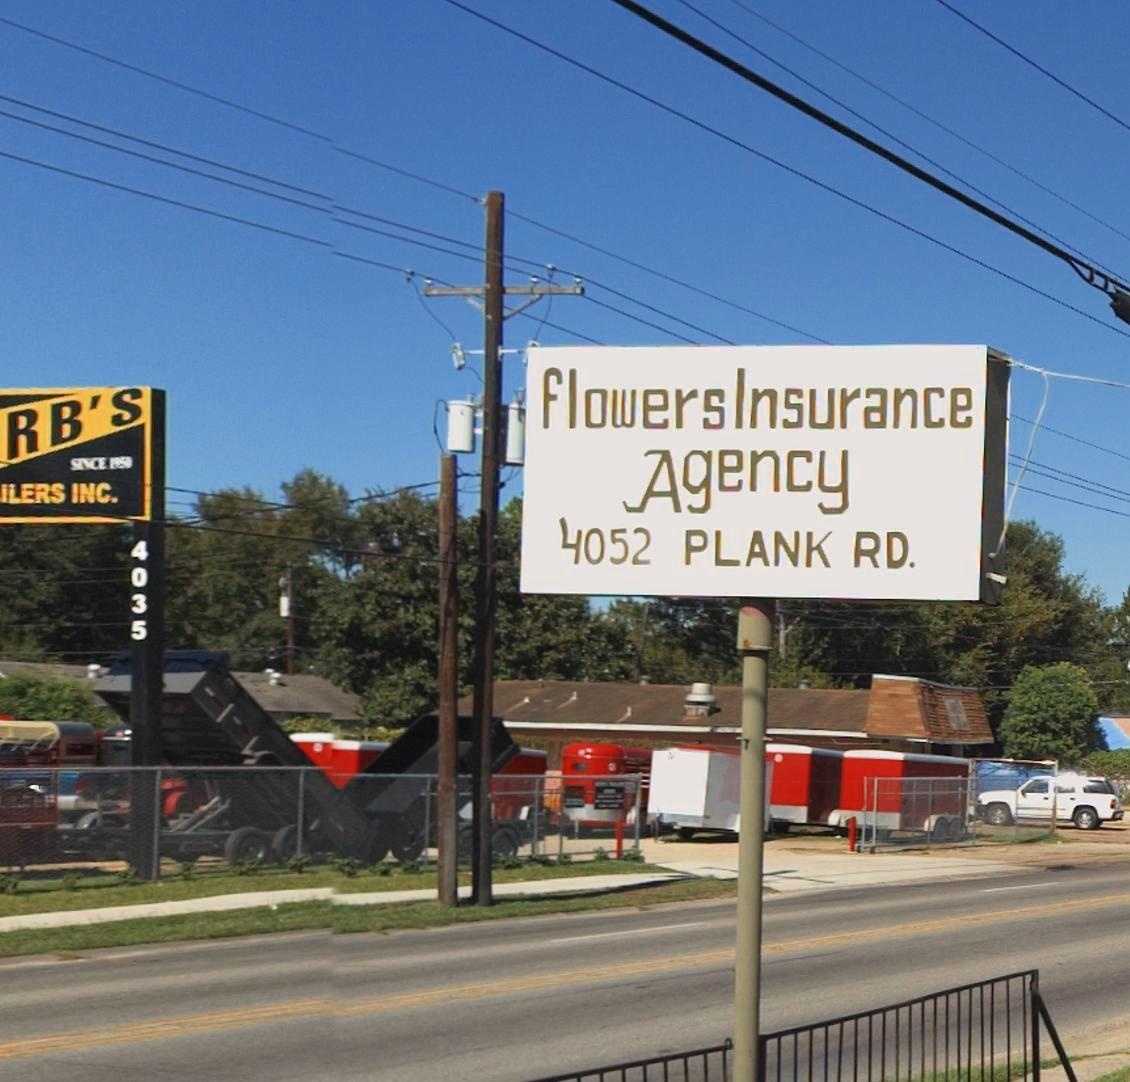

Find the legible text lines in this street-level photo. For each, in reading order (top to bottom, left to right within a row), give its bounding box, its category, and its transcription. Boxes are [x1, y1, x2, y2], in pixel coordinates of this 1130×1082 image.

[5, 386, 145, 462] BusinessName: RG'S
[541, 365, 974, 430] BusinessName: flowersInsurance
[1, 481, 113, 505] BusinessName: ILERS INC
[618, 446, 852, 517] BusinessName: Agency
[557, 515, 654, 567] StreetNumber: 4052
[683, 526, 912, 571] StreetName: PLANK RD
[127, 540, 149, 642] StreetNumber: 4035